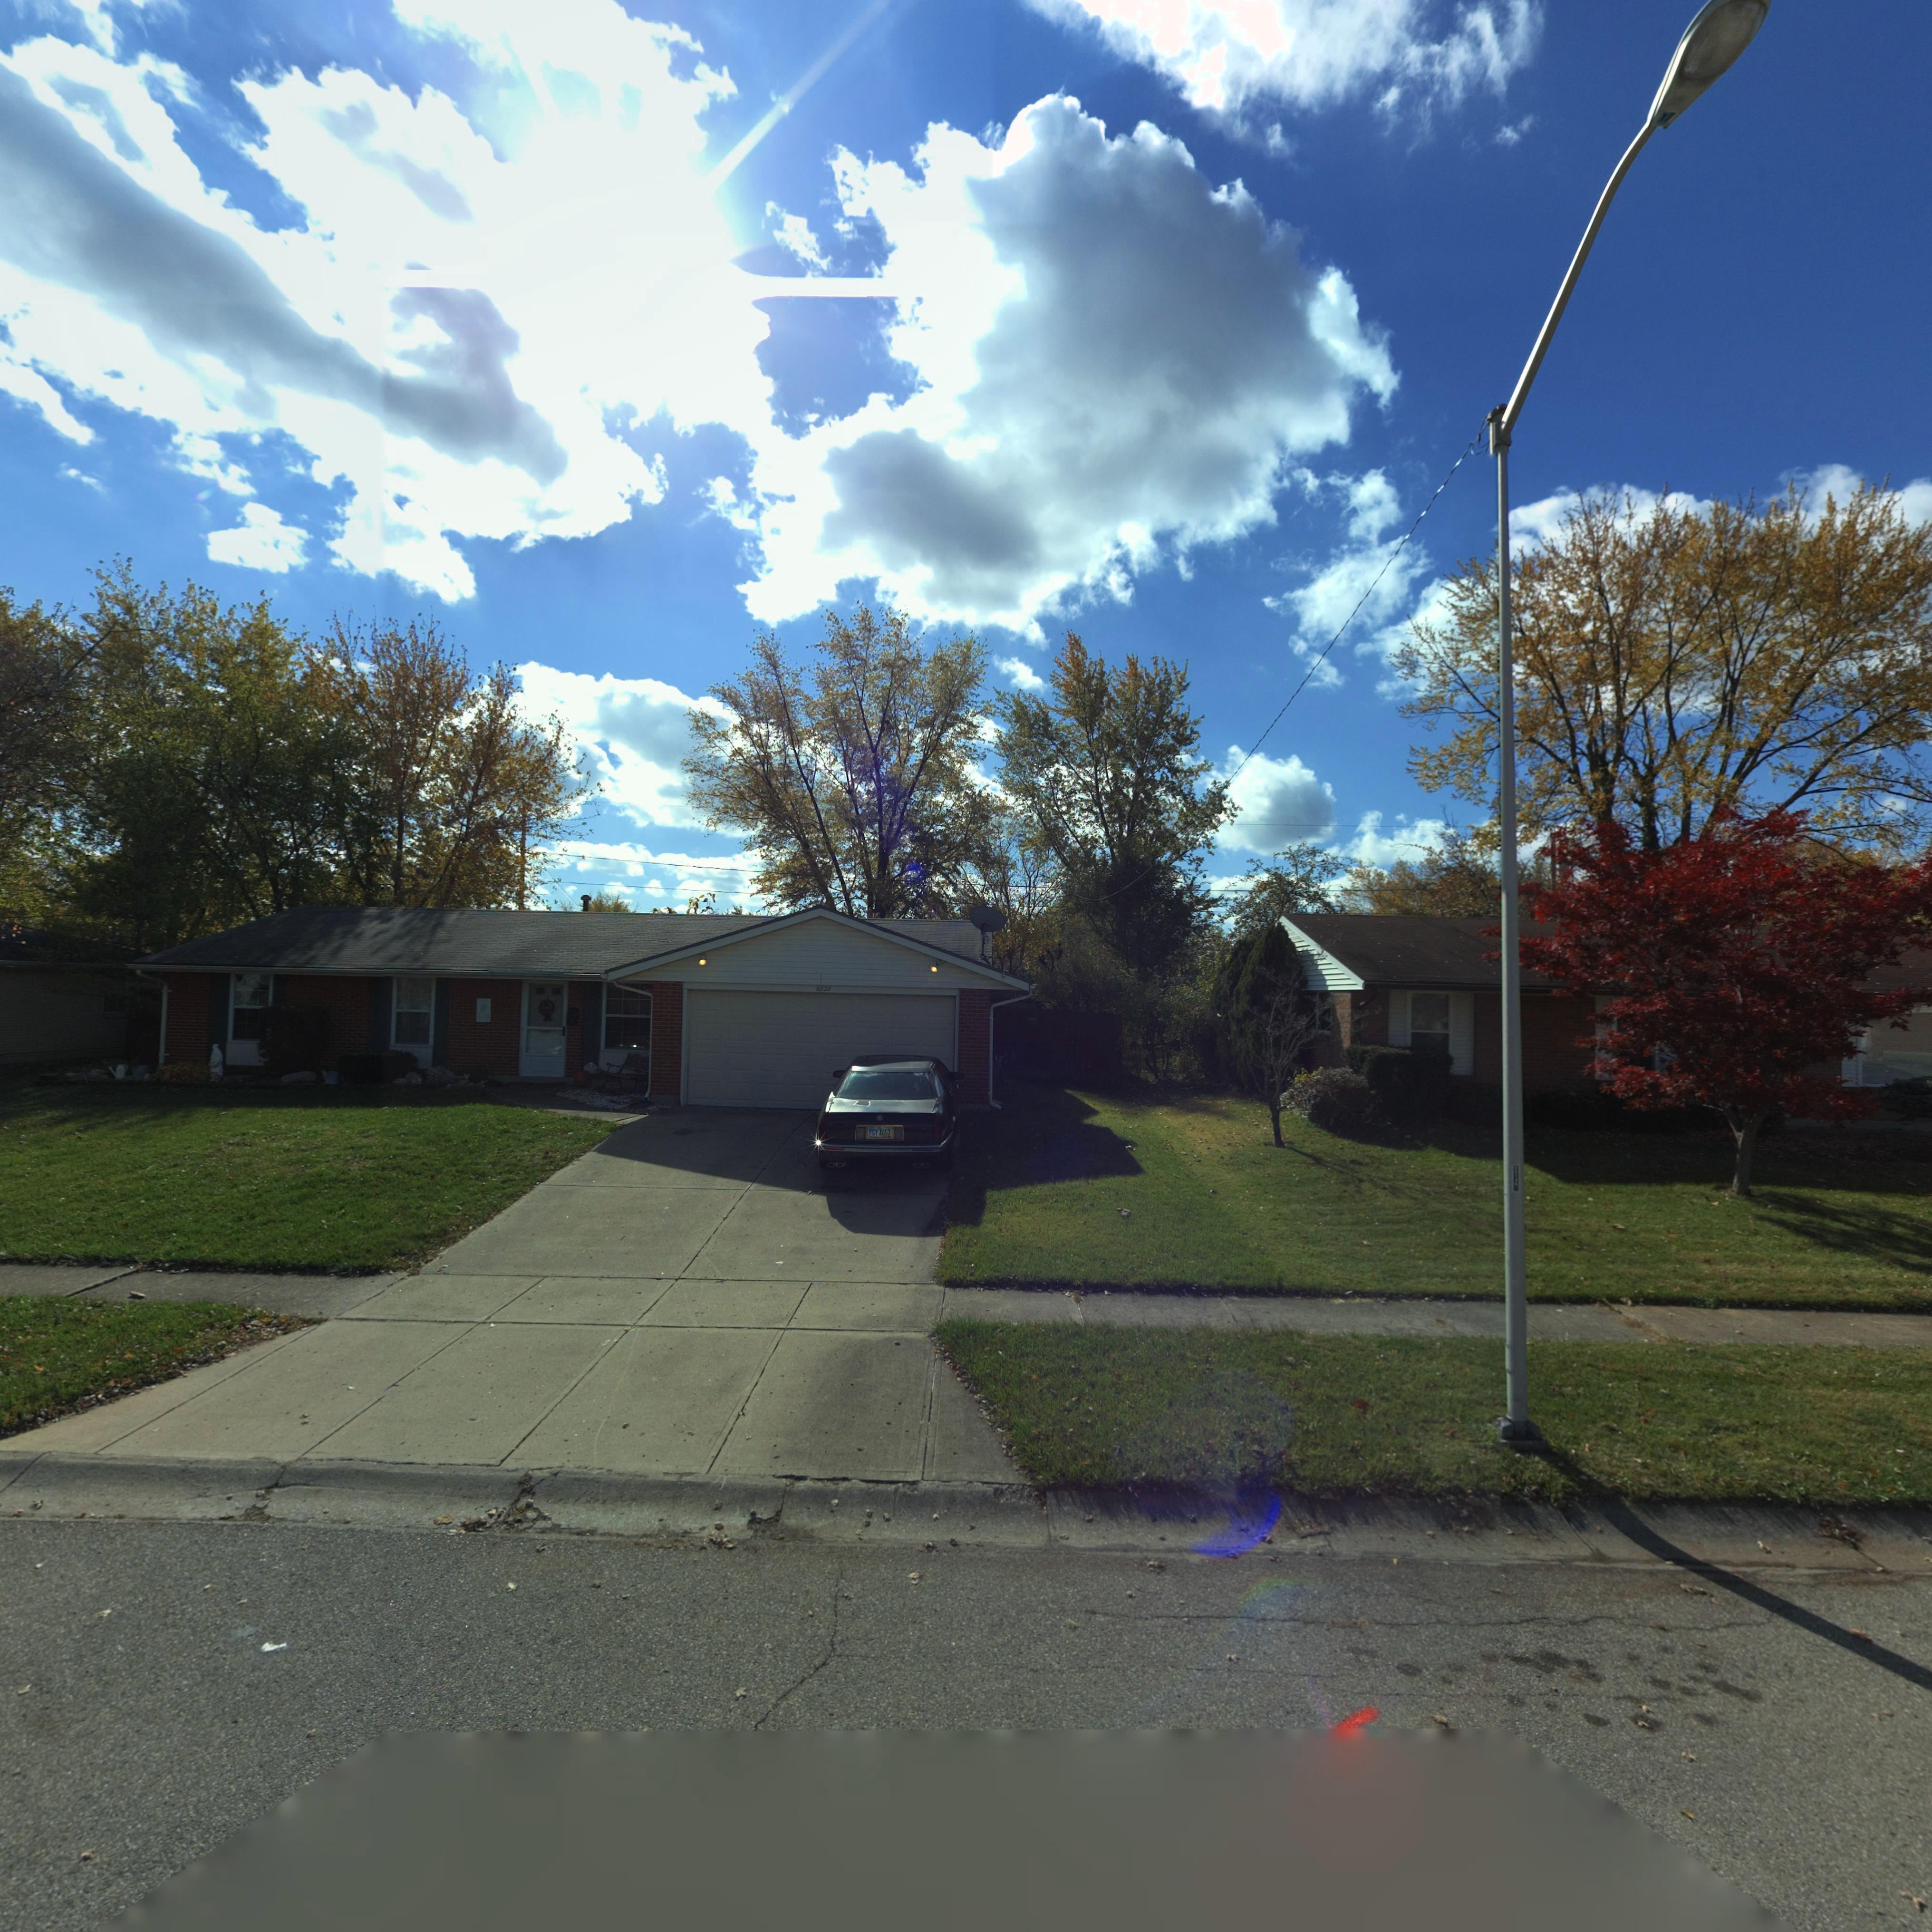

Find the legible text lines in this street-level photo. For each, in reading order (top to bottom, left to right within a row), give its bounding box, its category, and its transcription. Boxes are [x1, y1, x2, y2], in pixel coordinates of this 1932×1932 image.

[816, 985, 832, 992] StreetNumber: 6828